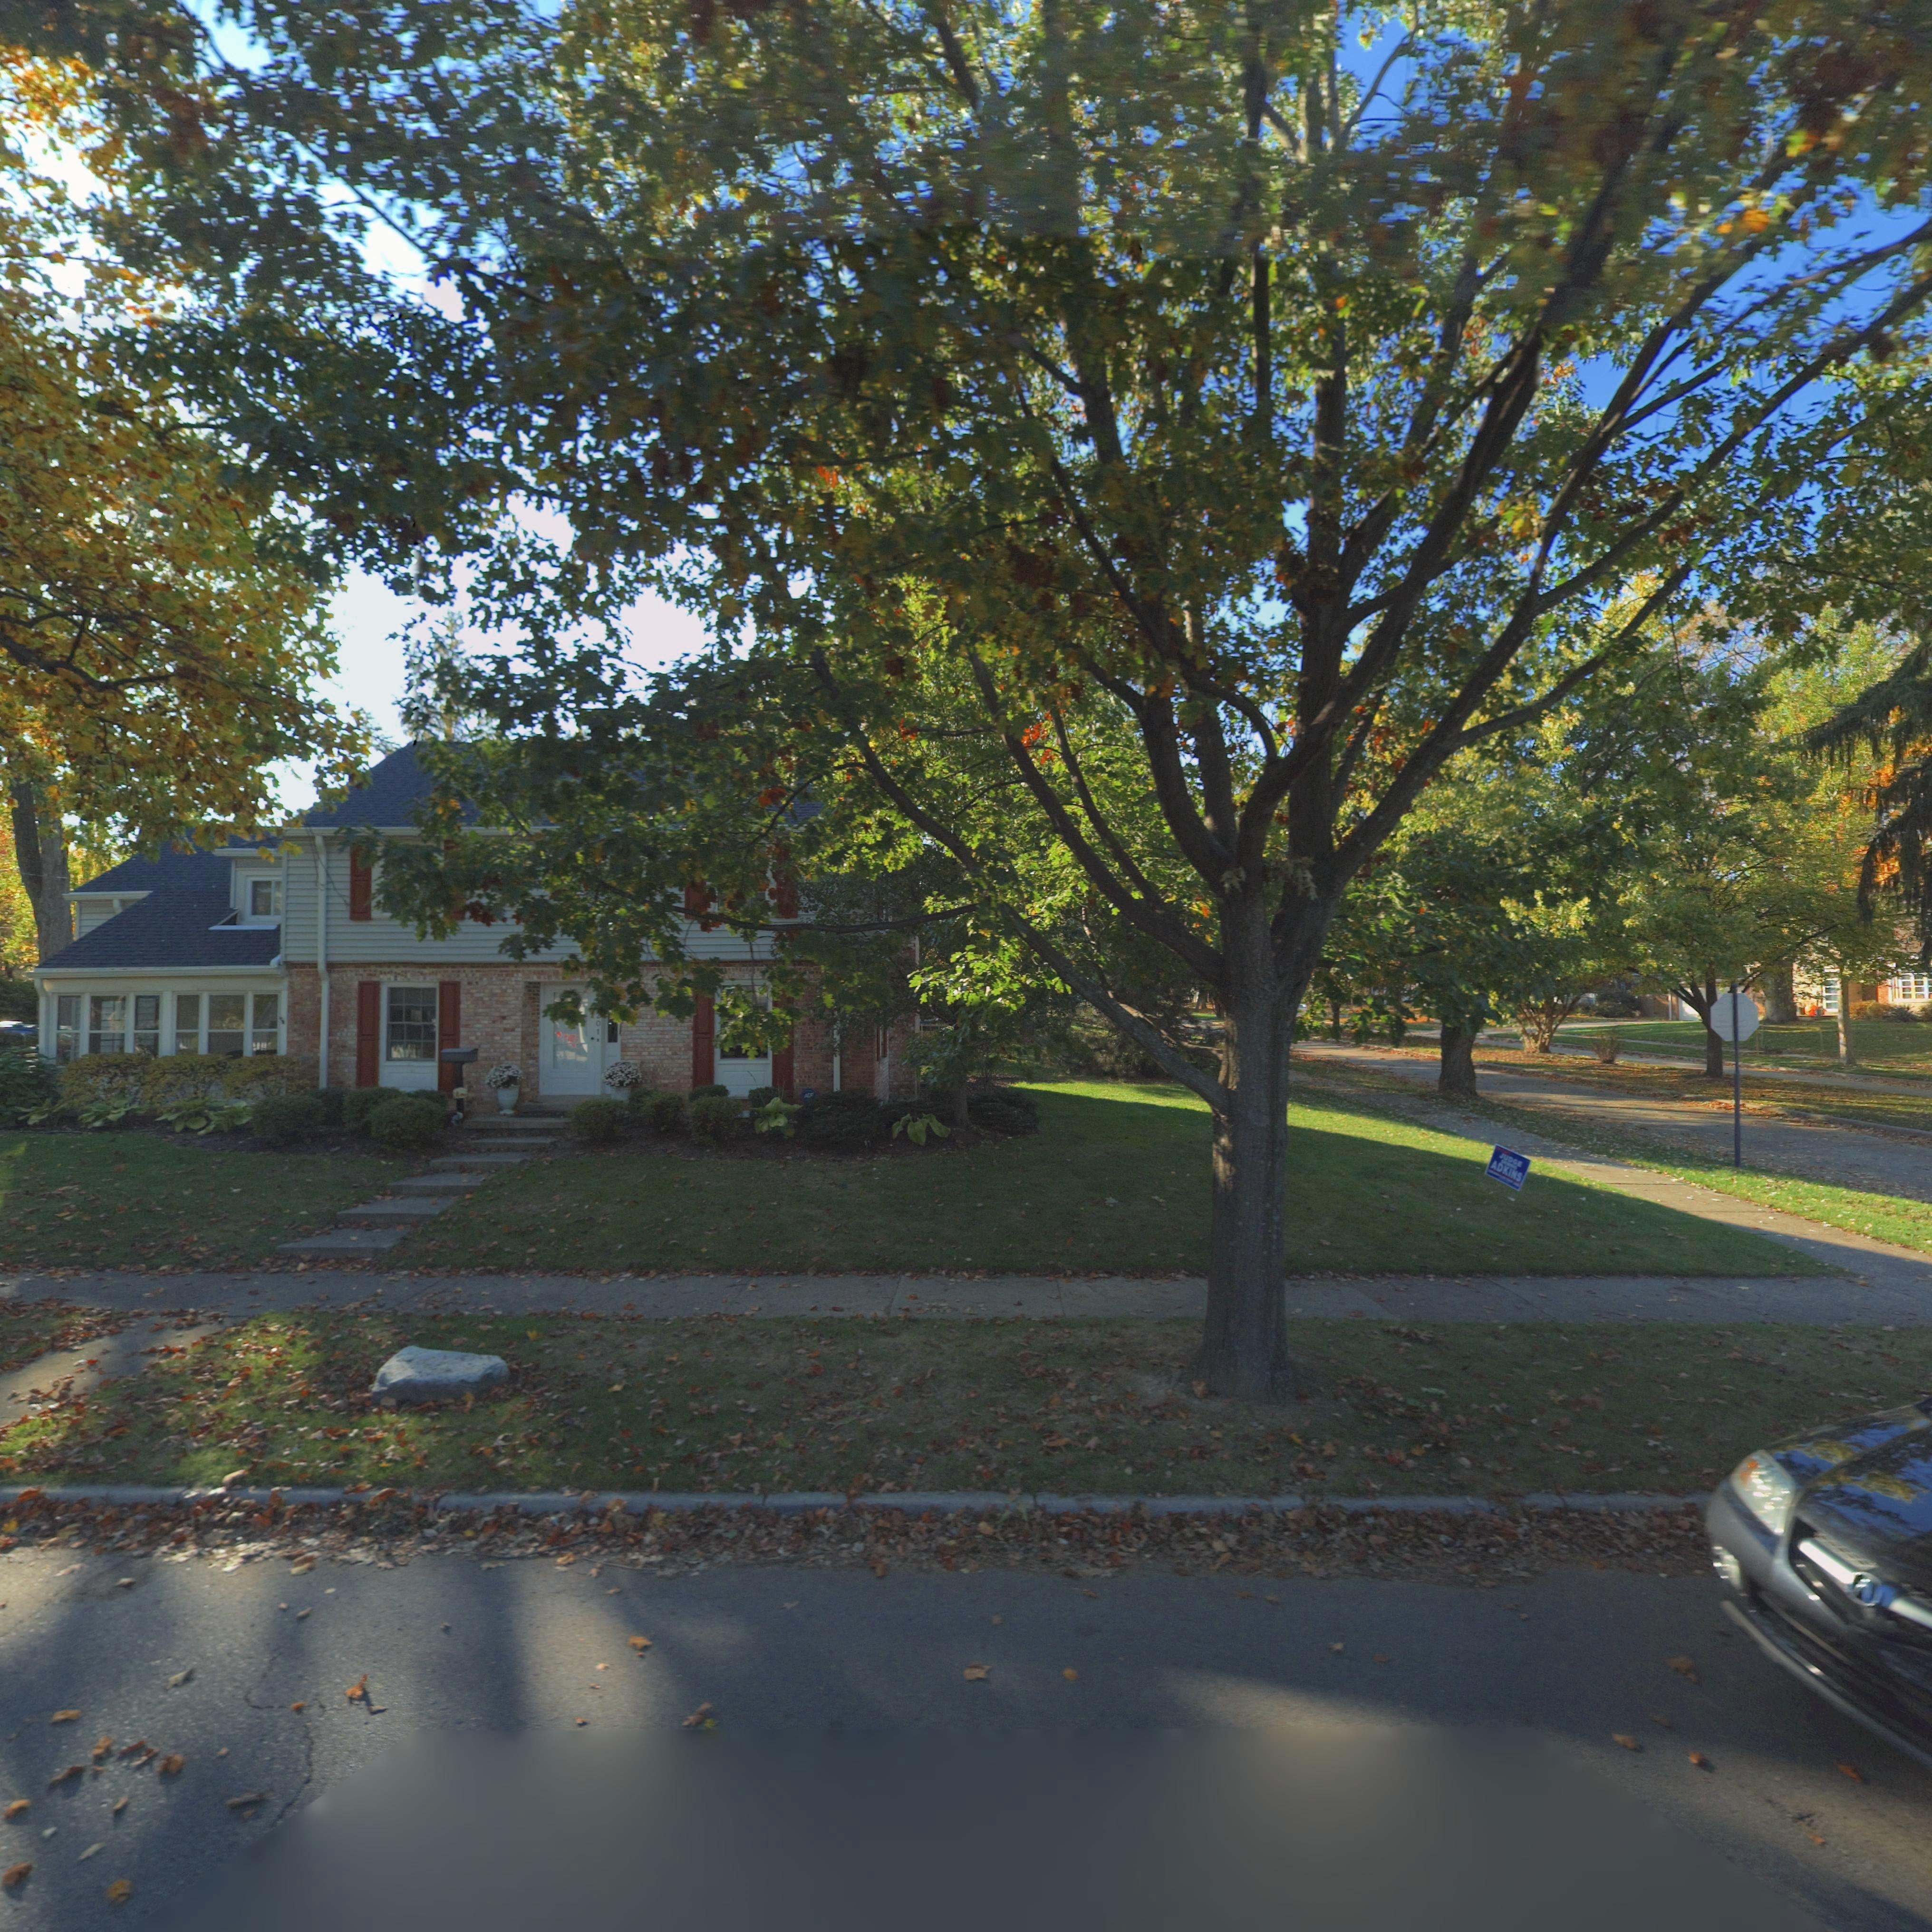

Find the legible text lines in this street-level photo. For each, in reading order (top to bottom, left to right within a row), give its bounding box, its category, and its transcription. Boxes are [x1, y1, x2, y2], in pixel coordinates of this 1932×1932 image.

[595, 1011, 601, 1035] StreetNumber: 201